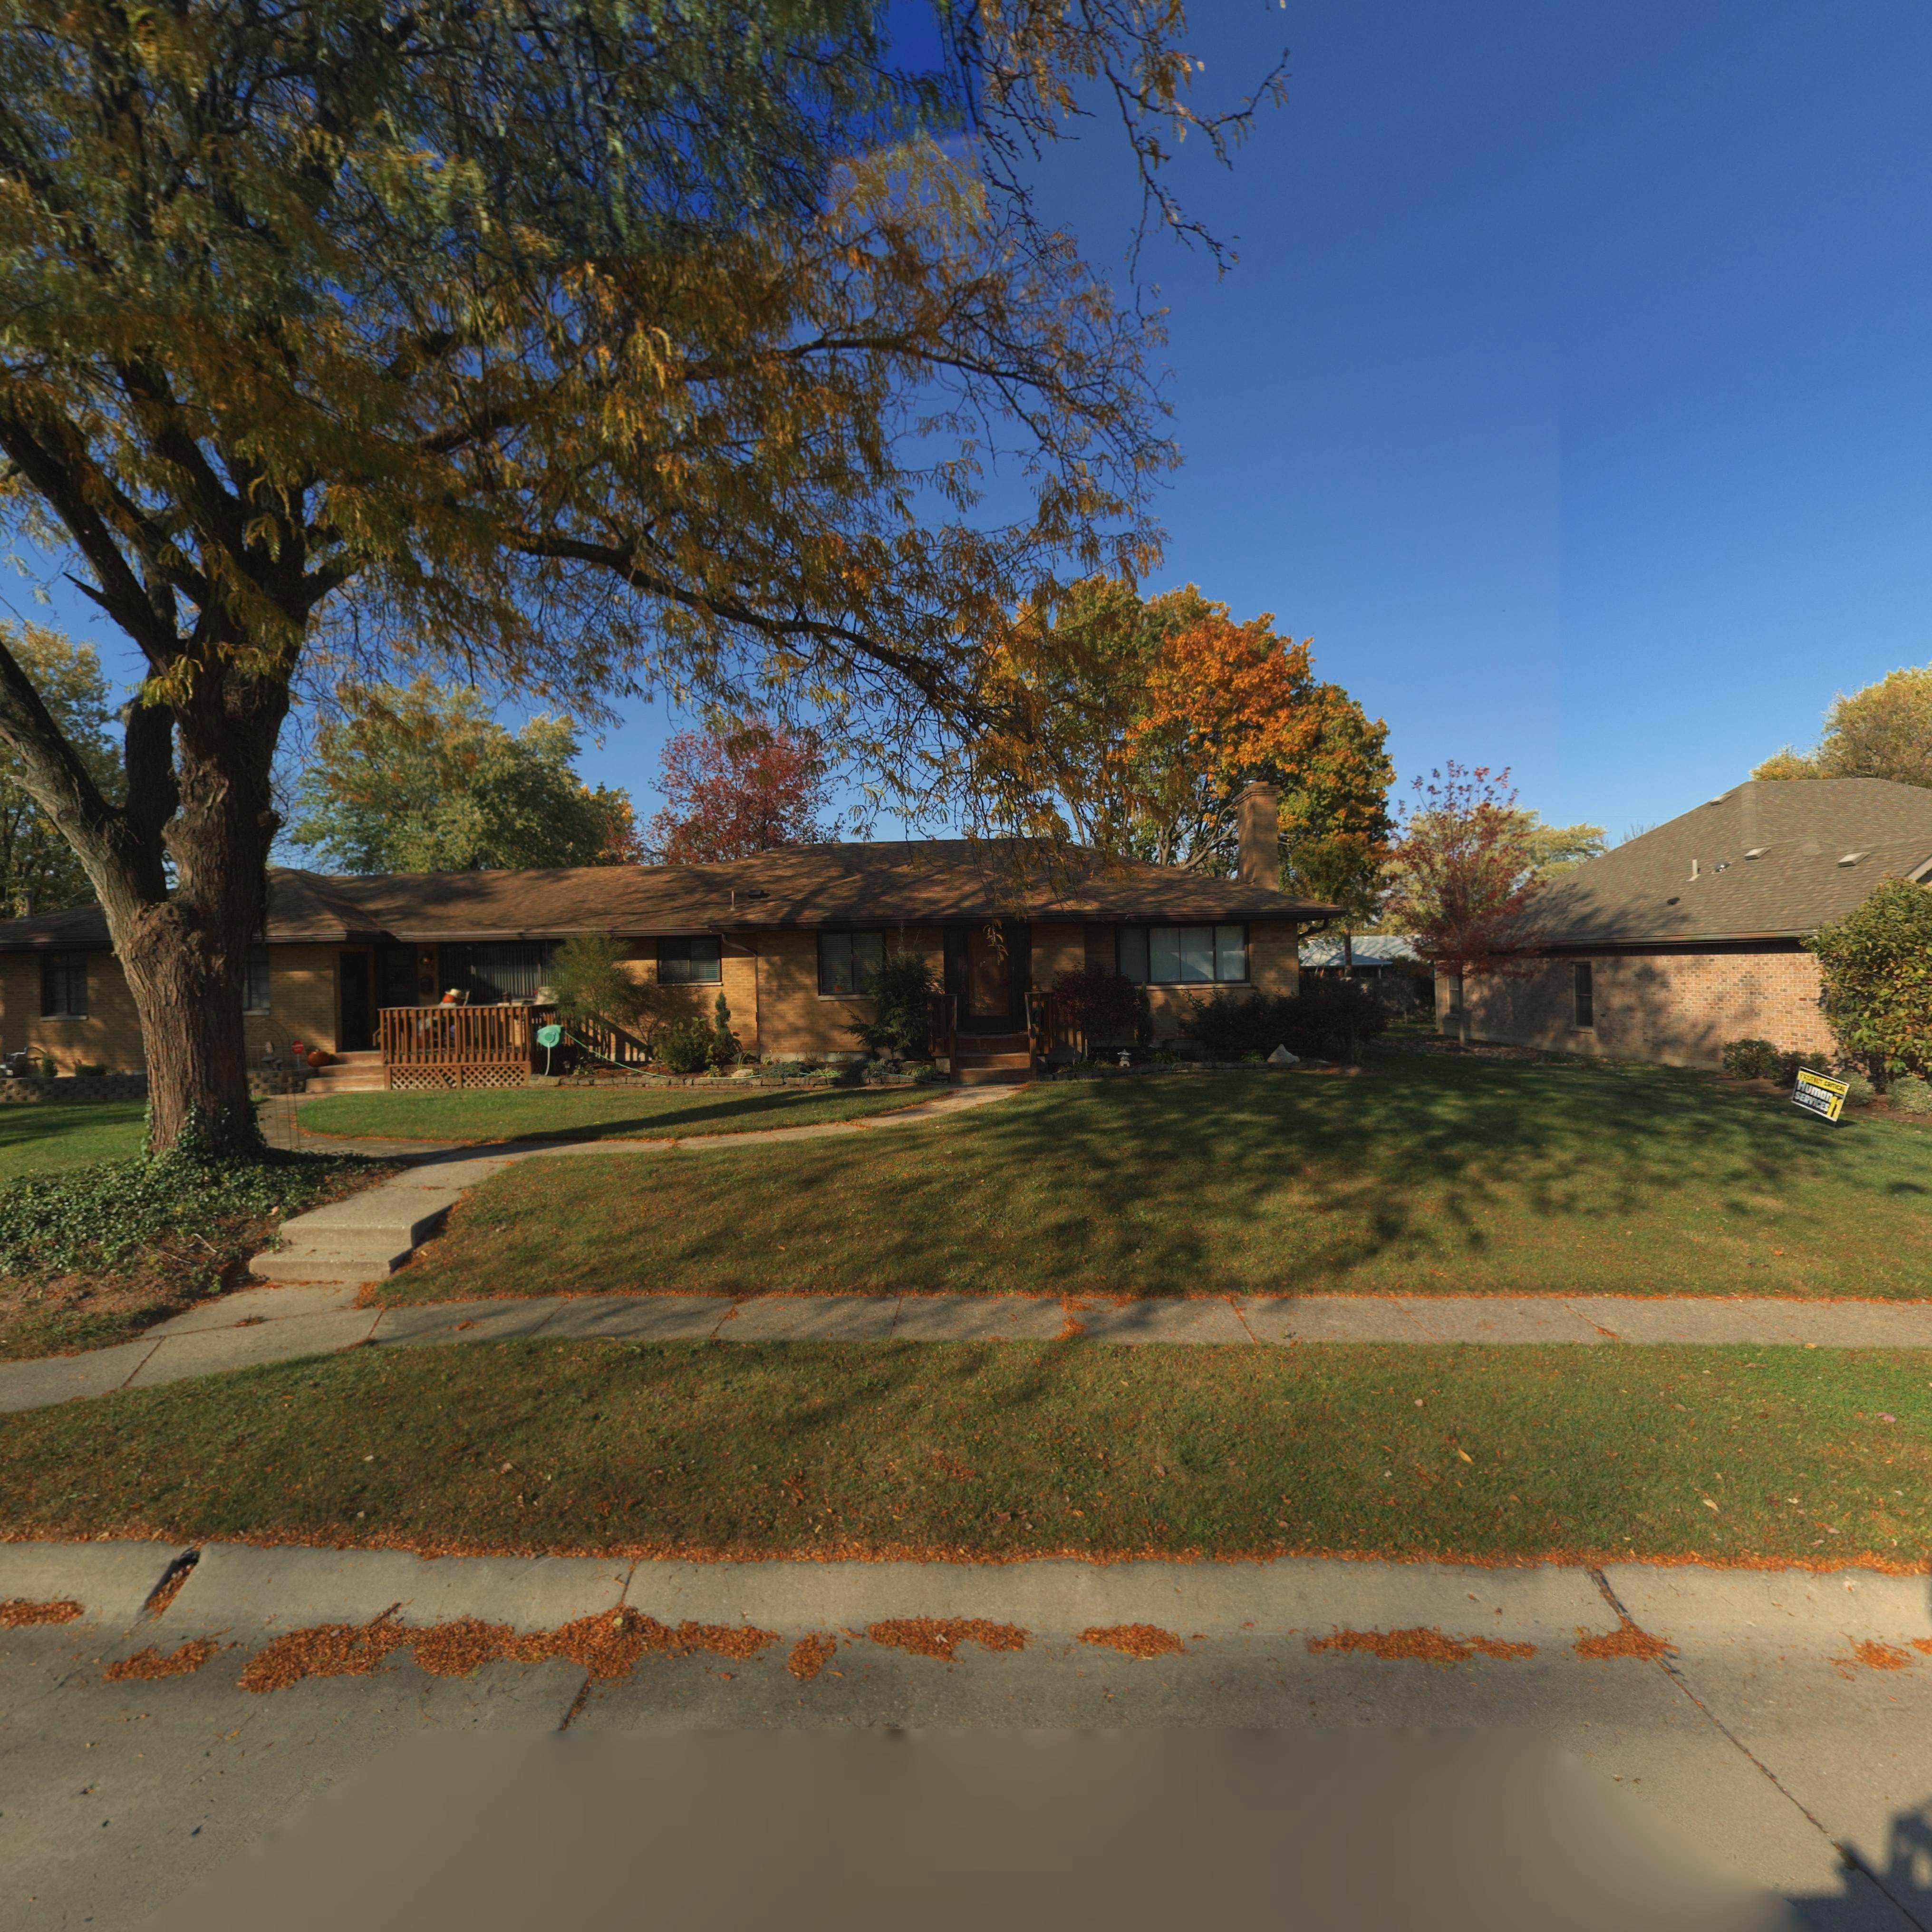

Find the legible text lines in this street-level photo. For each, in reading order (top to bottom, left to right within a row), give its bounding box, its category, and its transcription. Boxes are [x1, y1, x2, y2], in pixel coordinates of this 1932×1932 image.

[429, 964, 436, 972] StreetNumber: 5